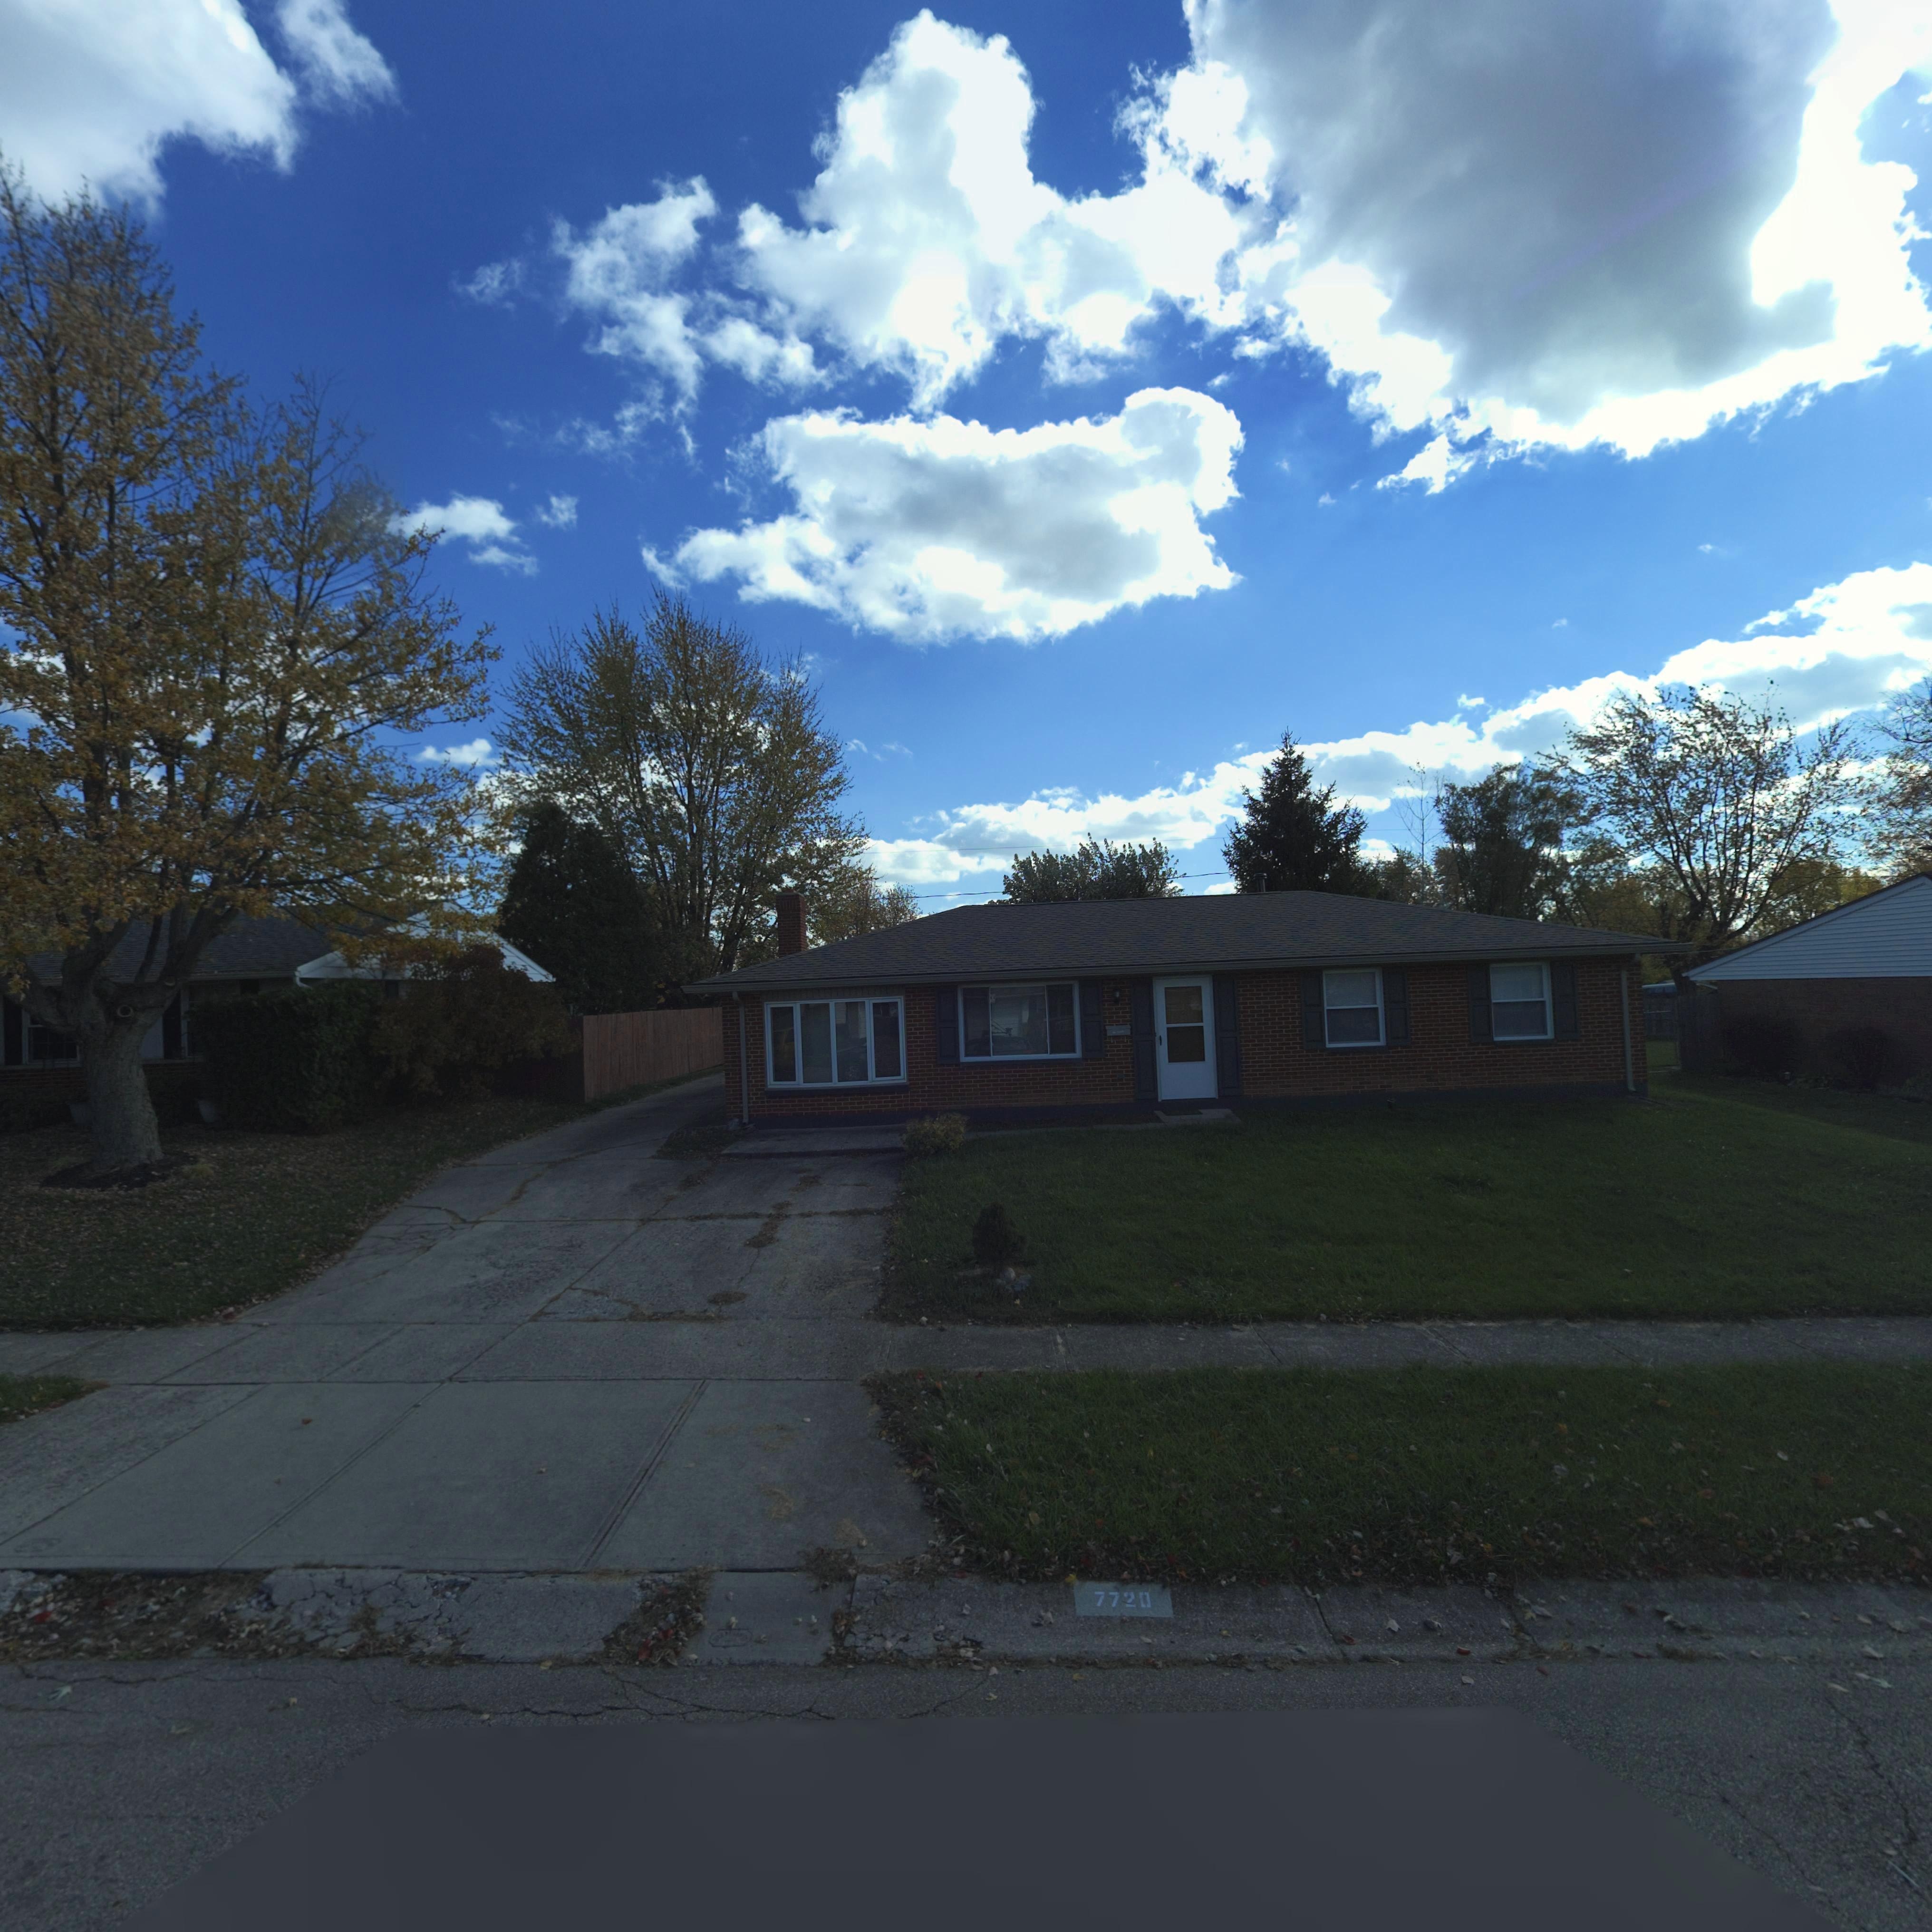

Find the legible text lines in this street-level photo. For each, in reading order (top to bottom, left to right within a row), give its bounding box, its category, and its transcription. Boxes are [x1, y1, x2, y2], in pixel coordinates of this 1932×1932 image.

[1092, 1590, 1152, 1609] StreetNumber: 7720